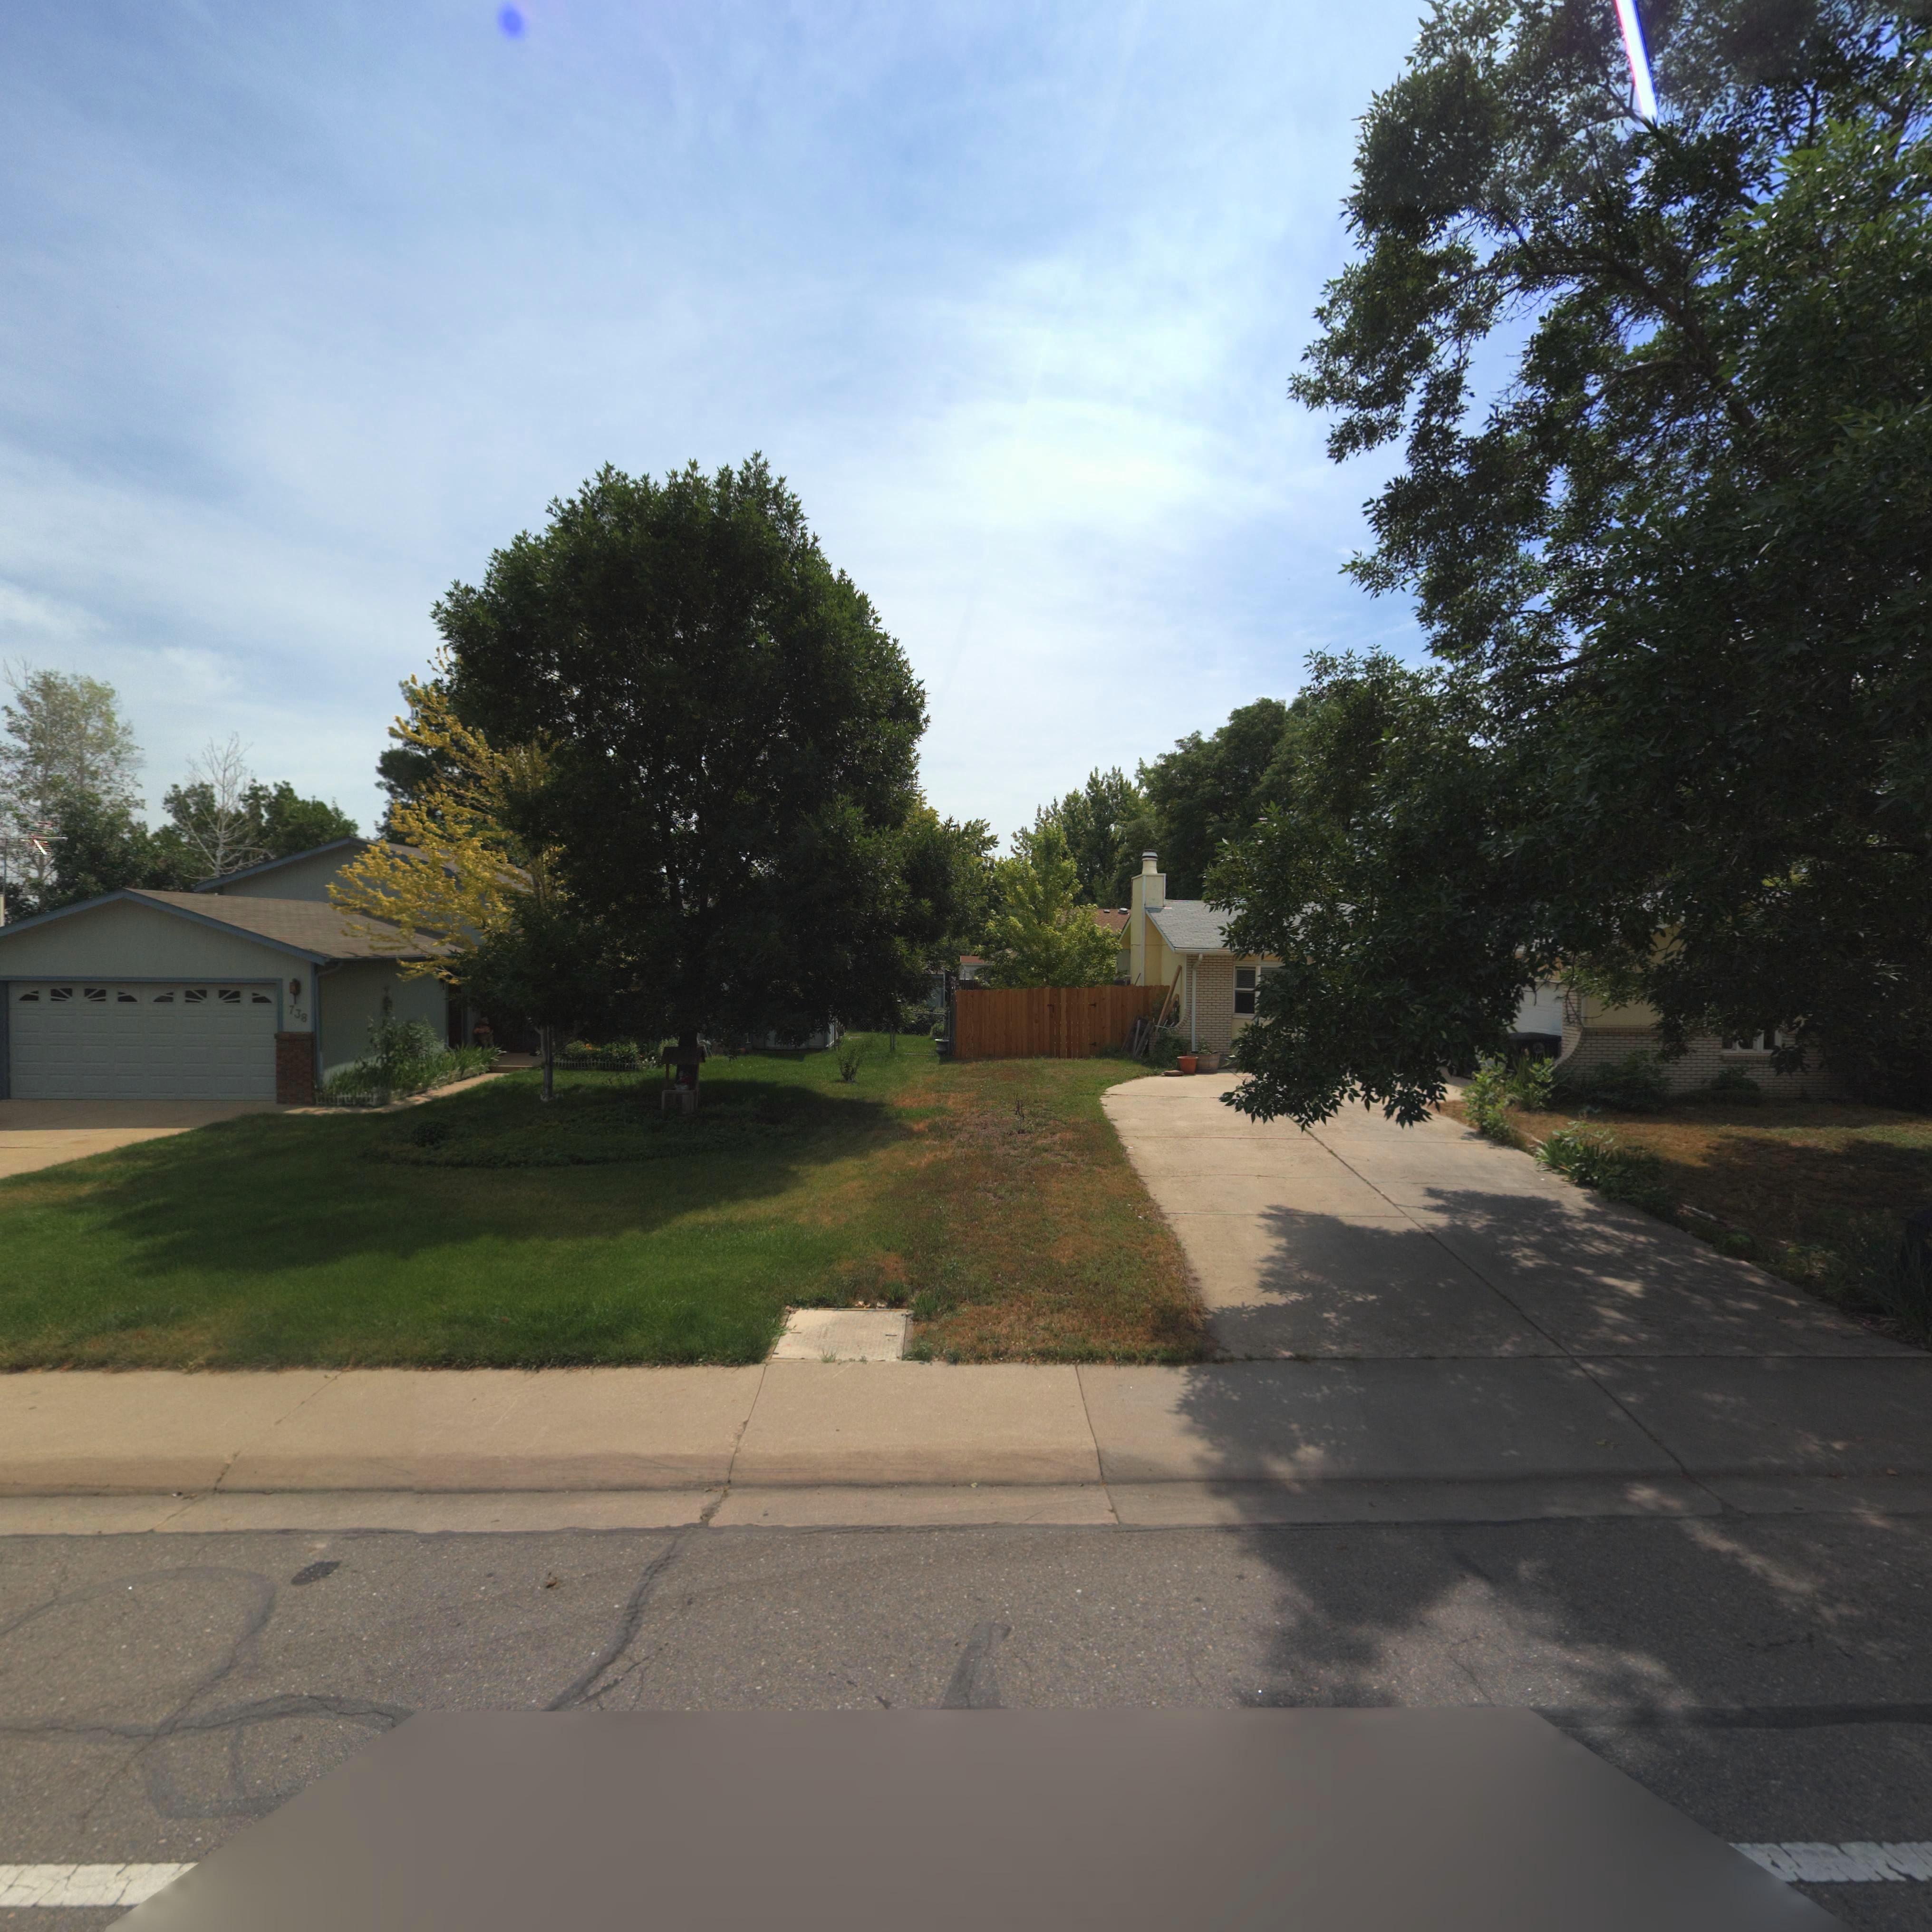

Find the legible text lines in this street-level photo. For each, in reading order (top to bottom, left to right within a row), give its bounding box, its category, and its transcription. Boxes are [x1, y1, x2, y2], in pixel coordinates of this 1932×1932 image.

[288, 1005, 307, 1023] StreetNumber: 738